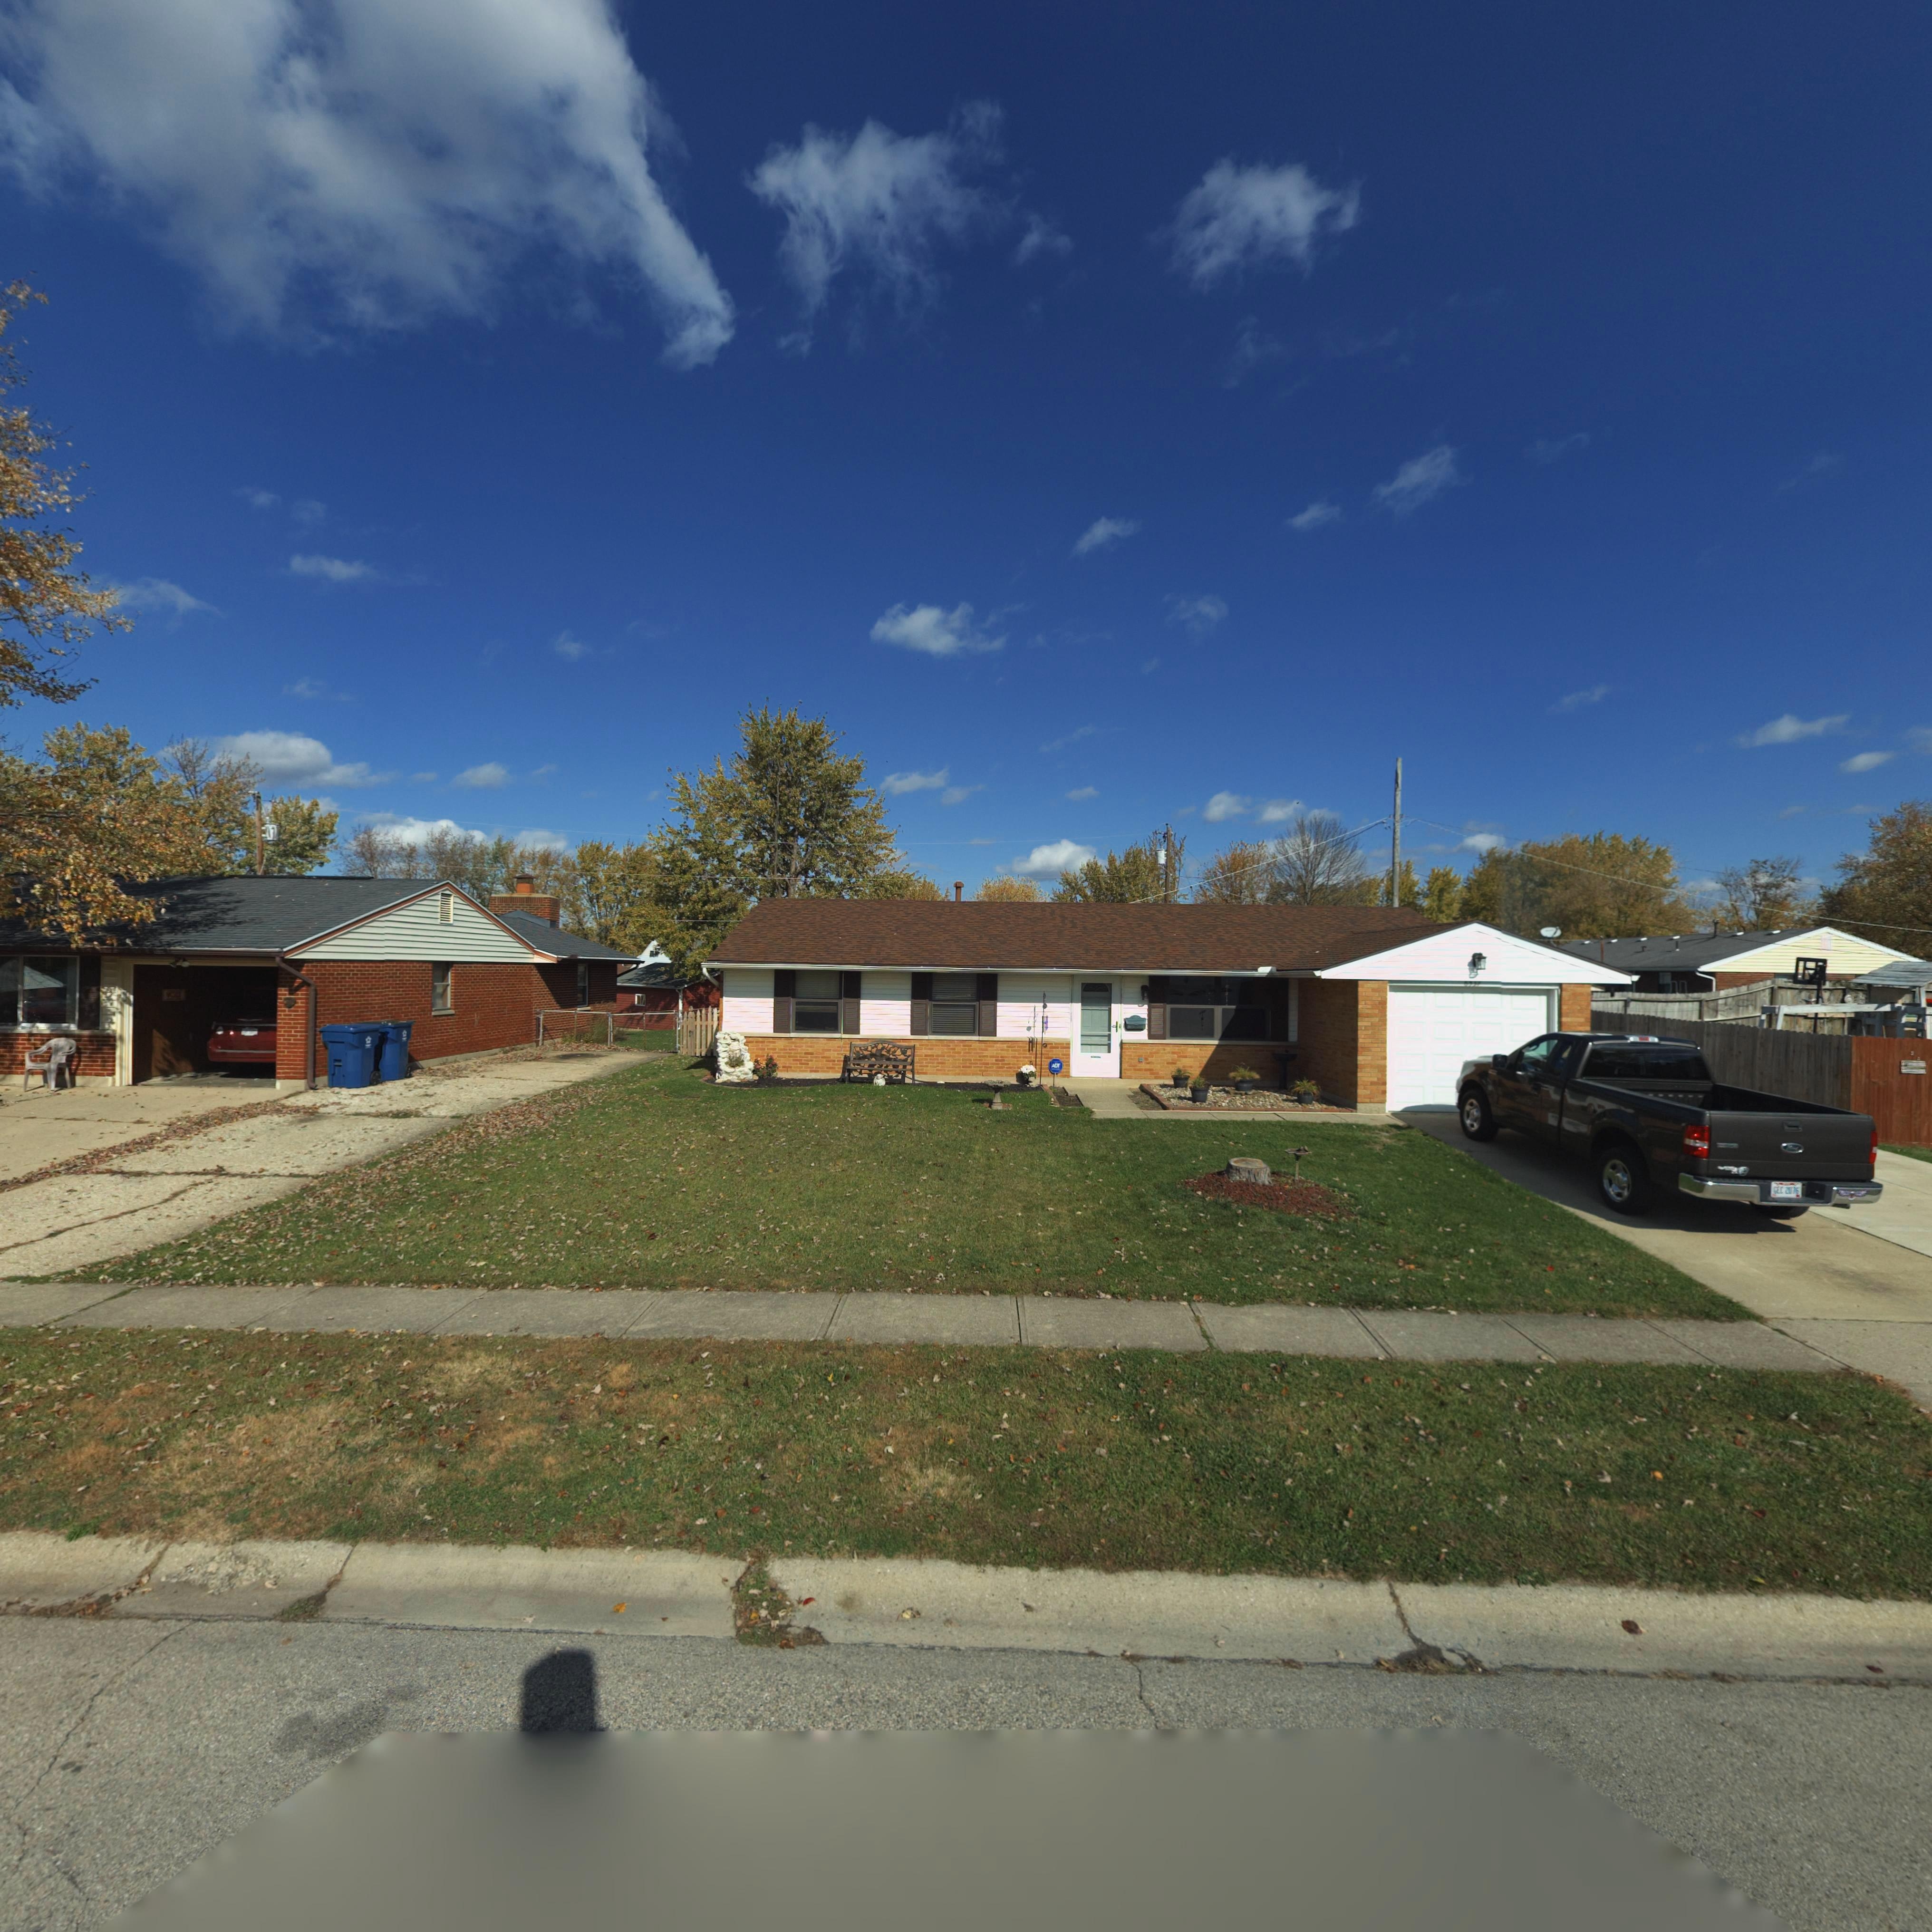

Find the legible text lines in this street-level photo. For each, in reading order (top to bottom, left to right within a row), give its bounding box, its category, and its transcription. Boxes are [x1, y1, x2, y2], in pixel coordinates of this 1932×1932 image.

[1463, 981, 1482, 987] StreetNumber: 653*
[1050, 1063, 1061, 1069] None: \\